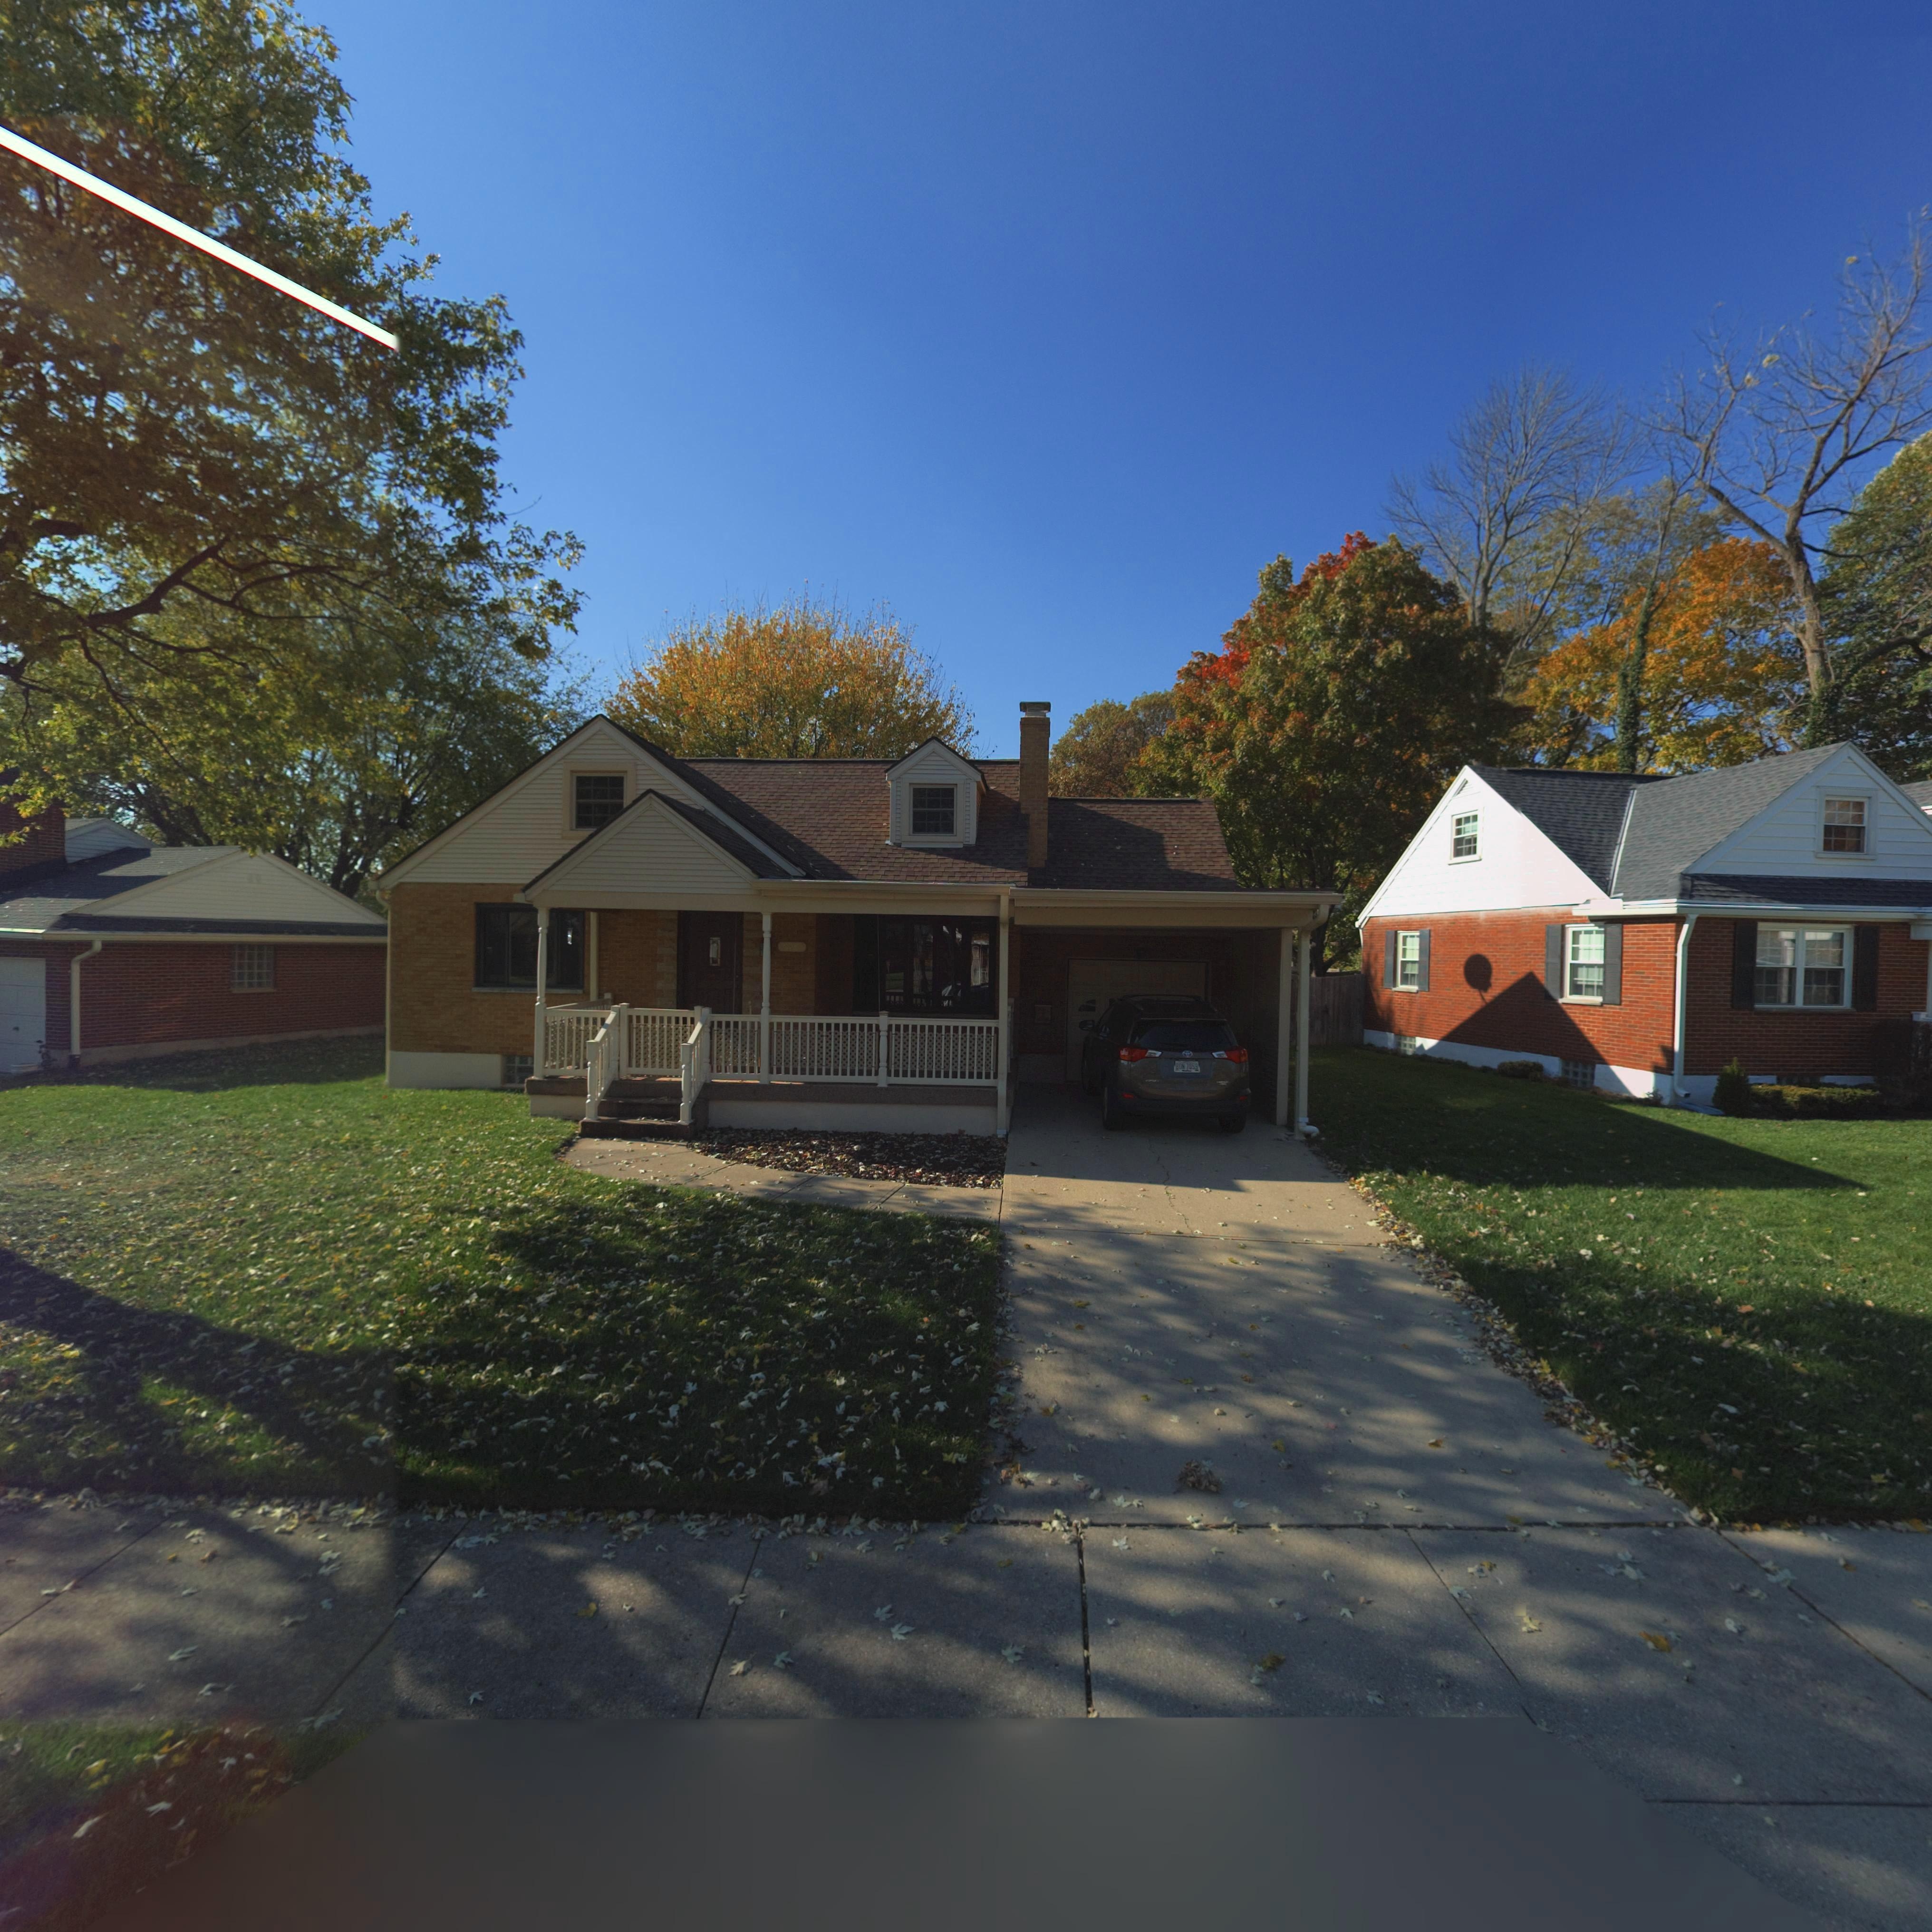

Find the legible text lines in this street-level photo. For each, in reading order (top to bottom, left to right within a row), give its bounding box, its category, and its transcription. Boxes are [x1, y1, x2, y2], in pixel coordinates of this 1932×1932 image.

[1175, 1063, 1198, 1070] None: B*N*7059